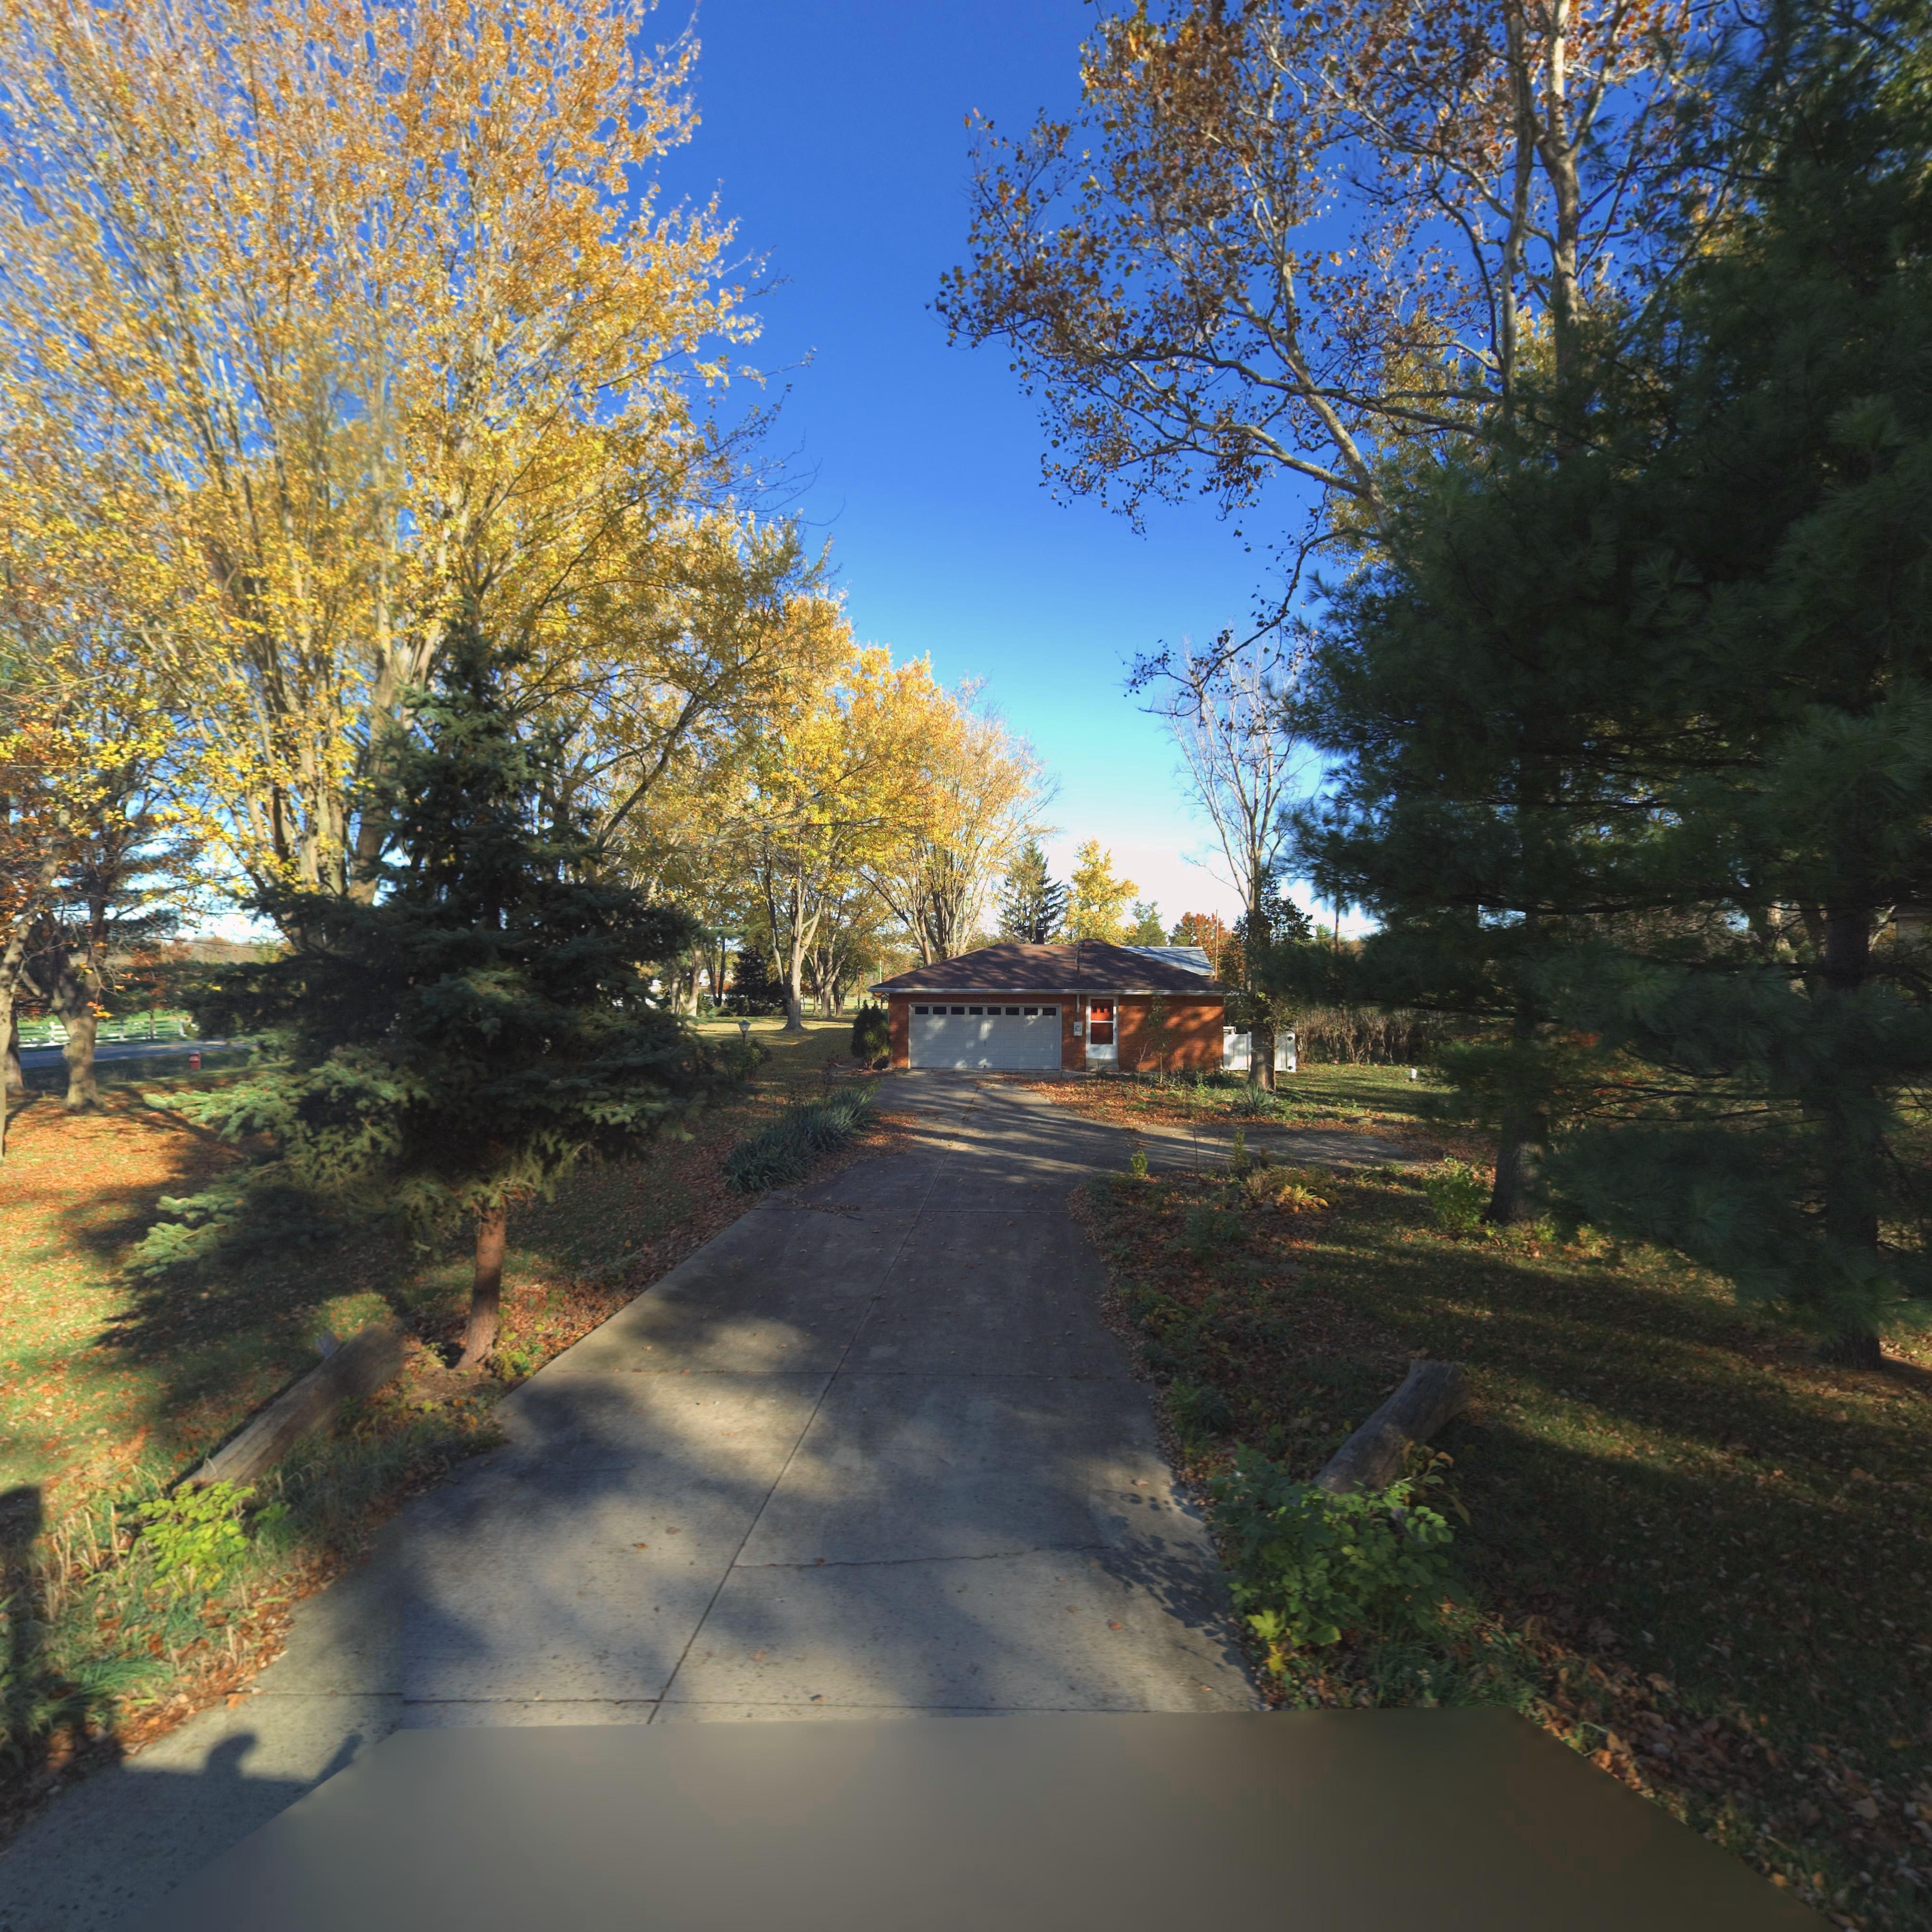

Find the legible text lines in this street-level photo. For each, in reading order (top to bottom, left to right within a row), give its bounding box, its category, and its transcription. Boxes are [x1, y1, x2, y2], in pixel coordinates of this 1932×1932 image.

[979, 997, 990, 1003] StreetNumber: *021